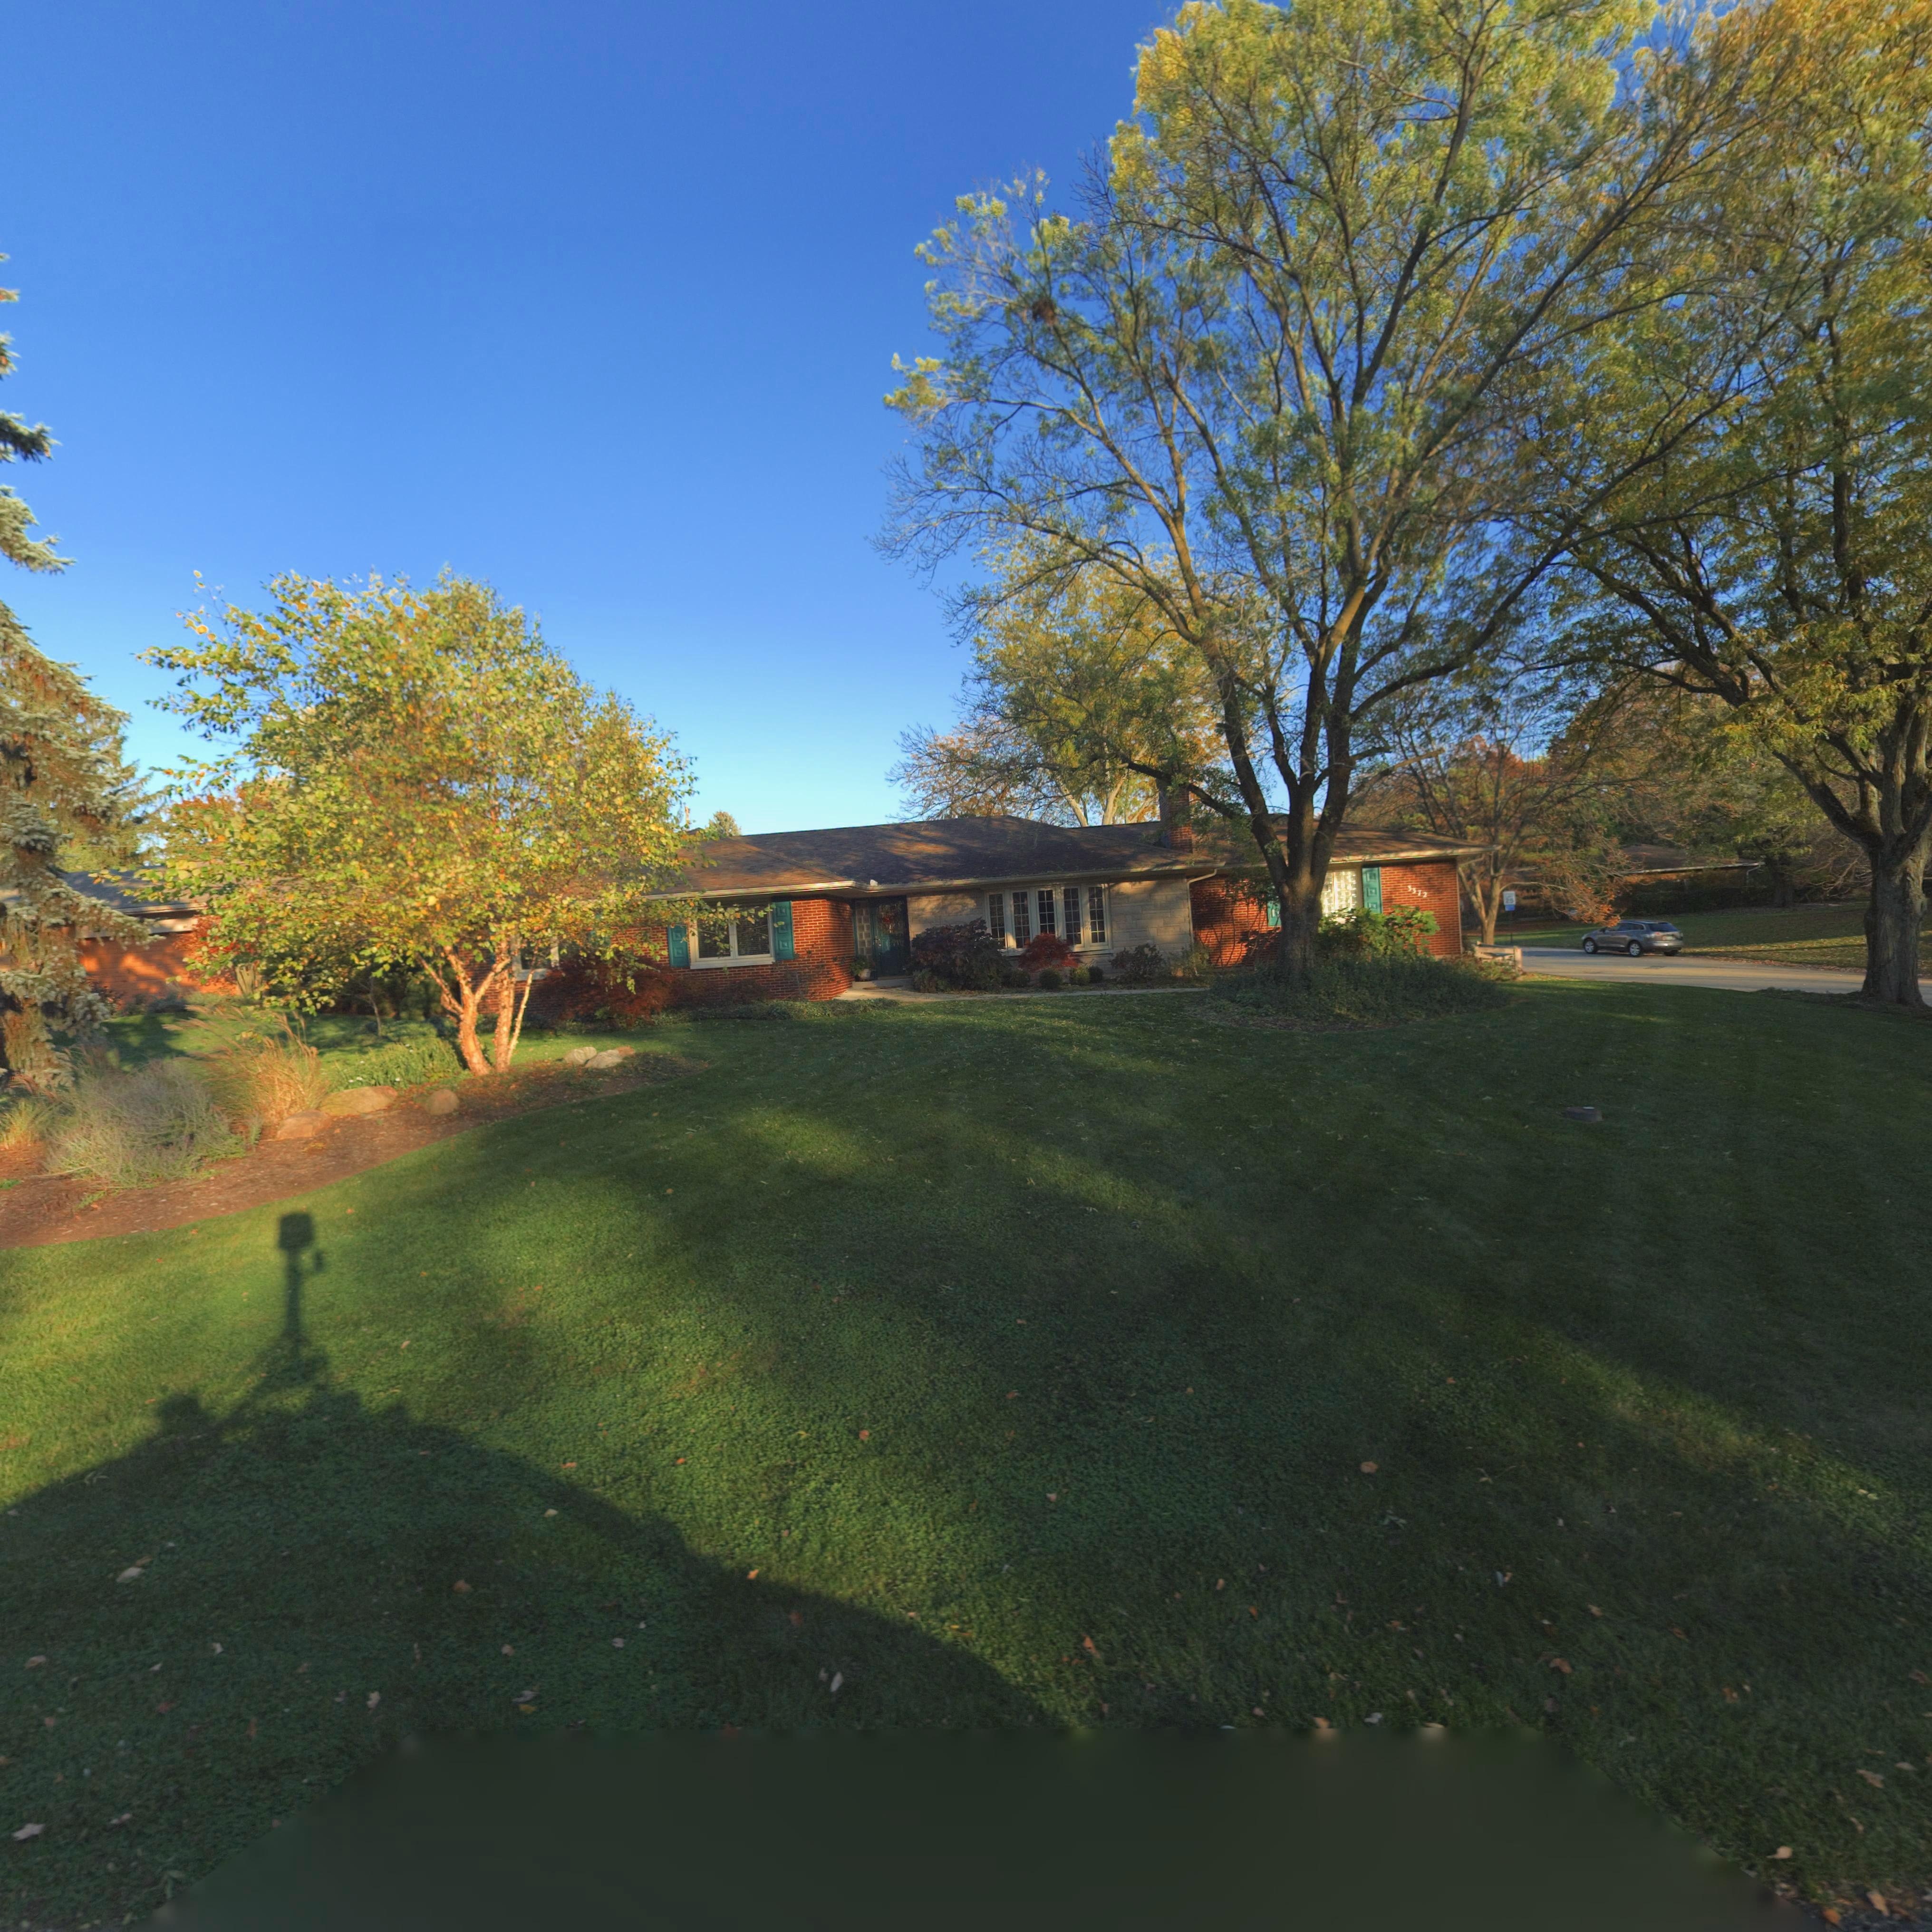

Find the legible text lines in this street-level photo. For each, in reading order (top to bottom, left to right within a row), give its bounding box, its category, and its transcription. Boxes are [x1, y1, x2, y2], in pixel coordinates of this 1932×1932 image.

[1406, 884, 1429, 898] StreetNumber: 3372